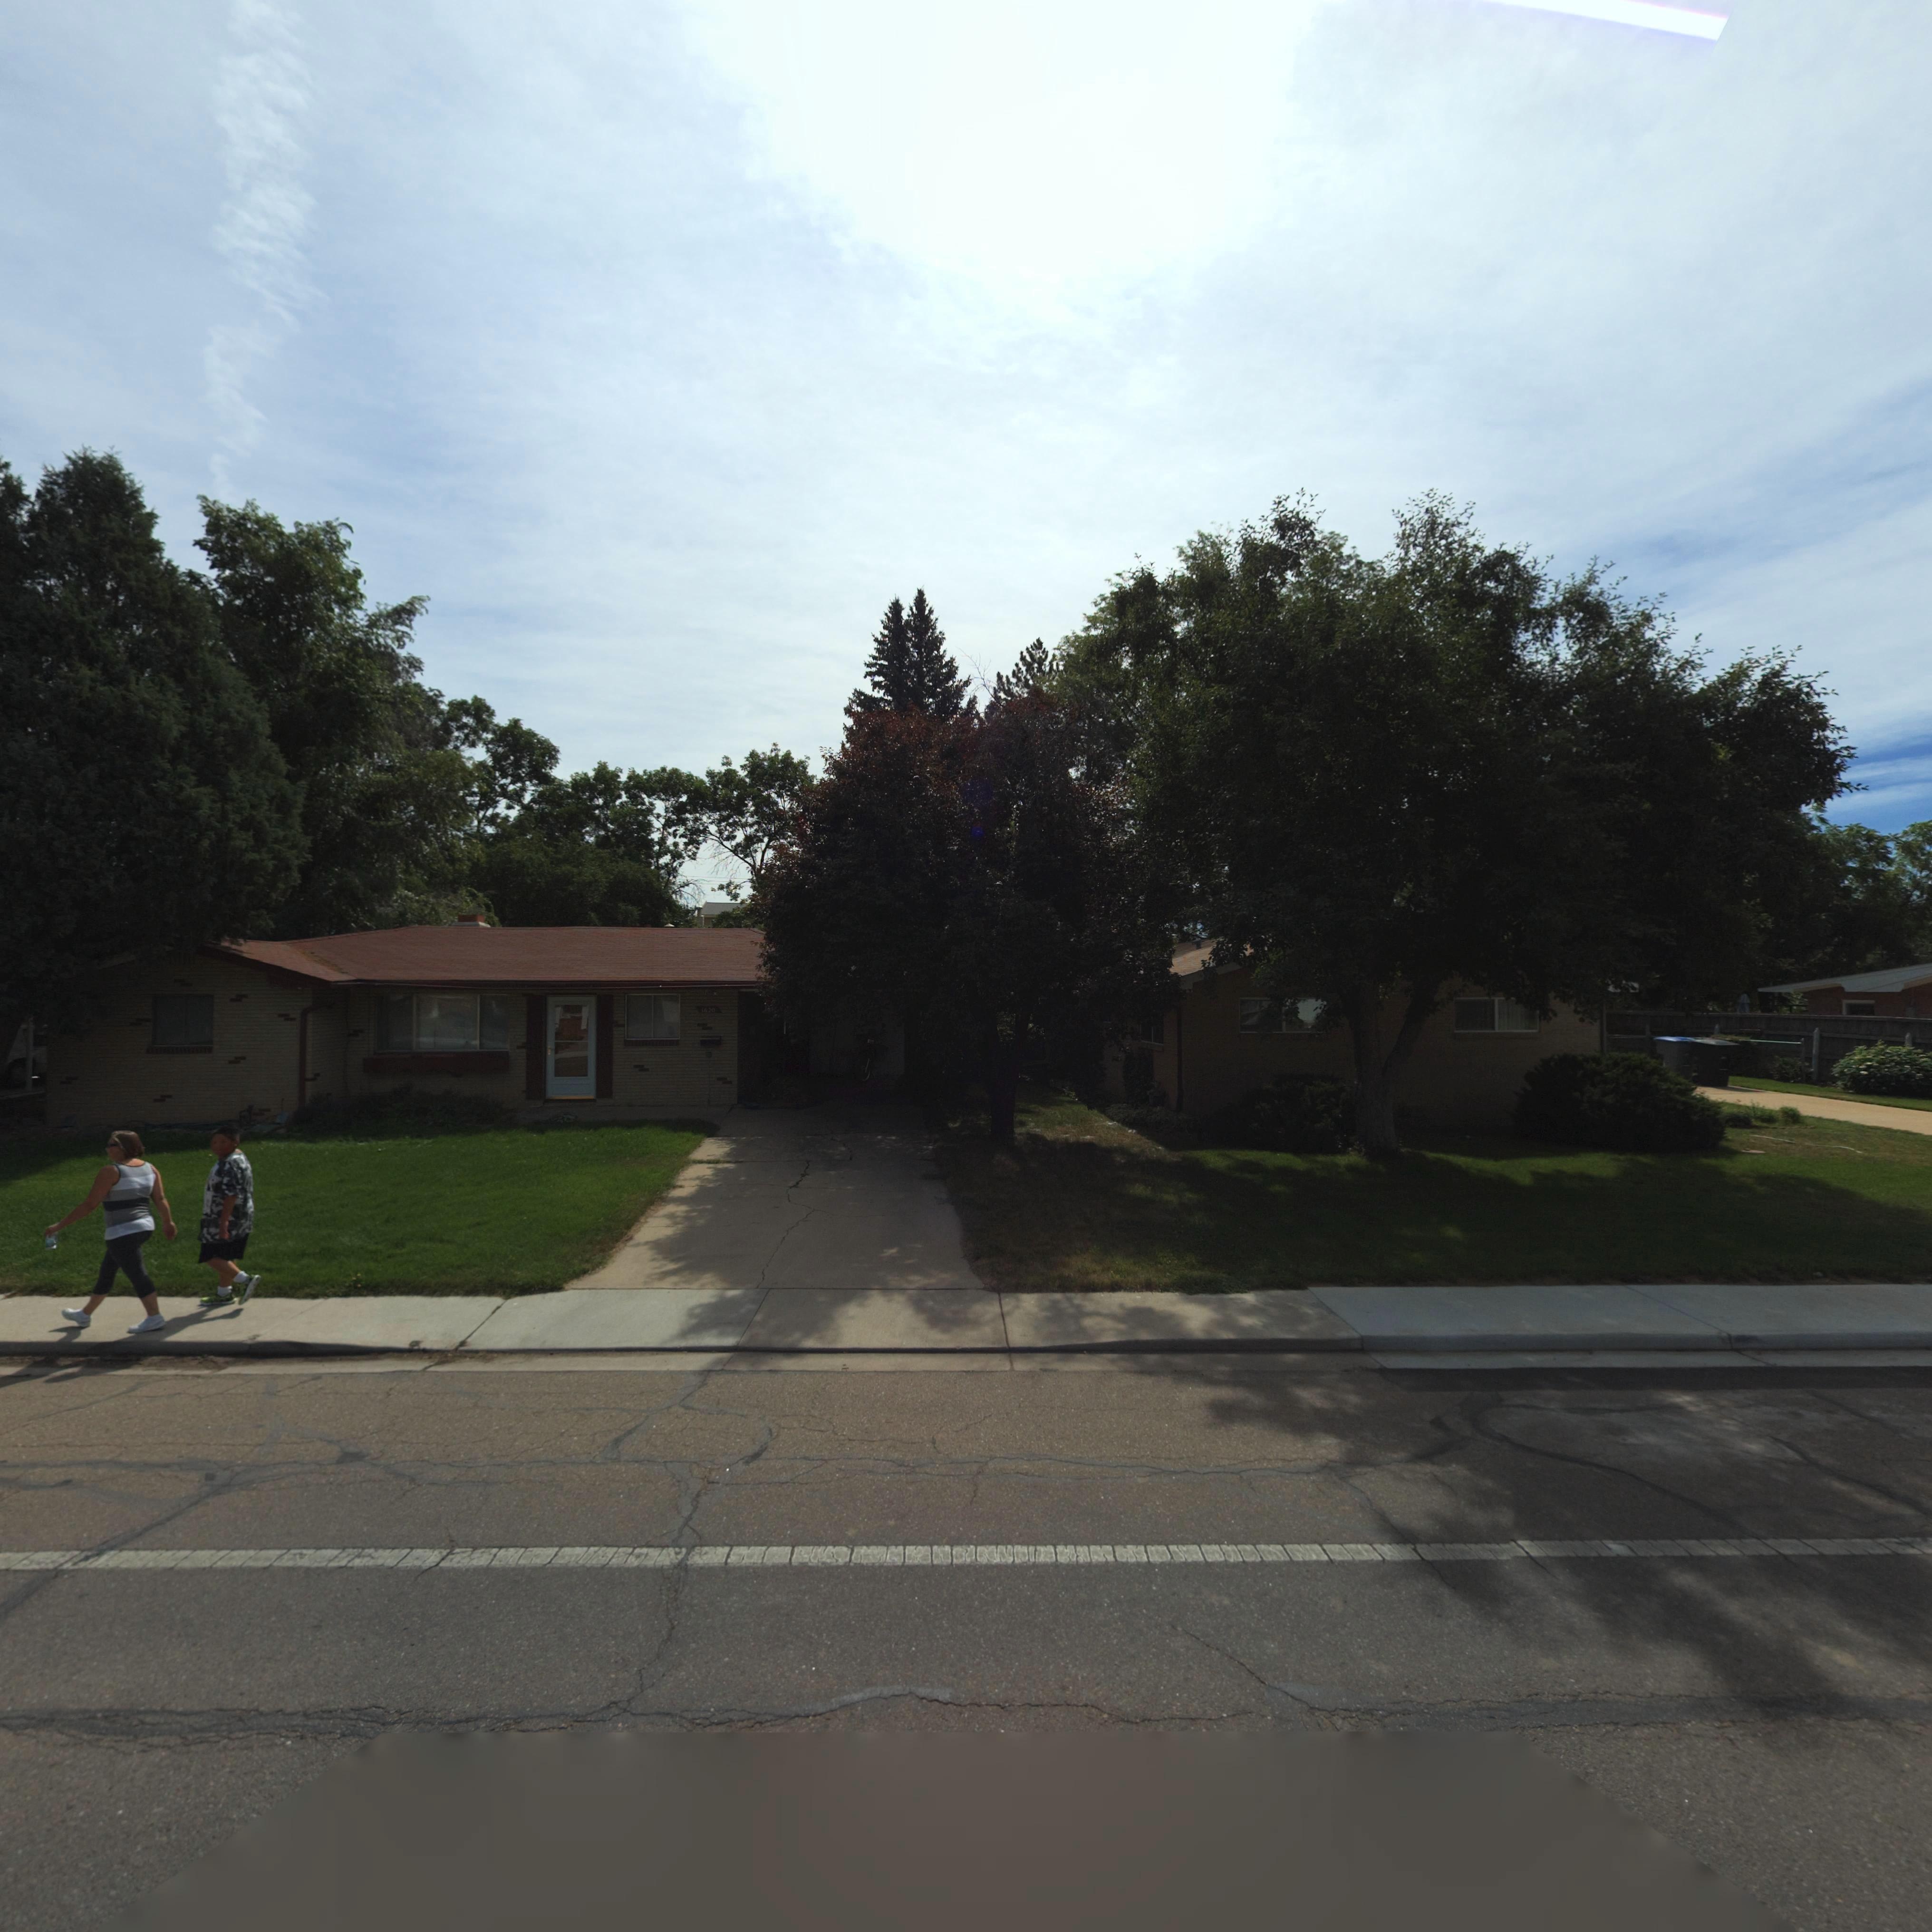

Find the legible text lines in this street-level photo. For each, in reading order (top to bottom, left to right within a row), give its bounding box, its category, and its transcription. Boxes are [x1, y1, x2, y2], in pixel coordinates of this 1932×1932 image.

[701, 1007, 715, 1013] StreetNumber: 1620